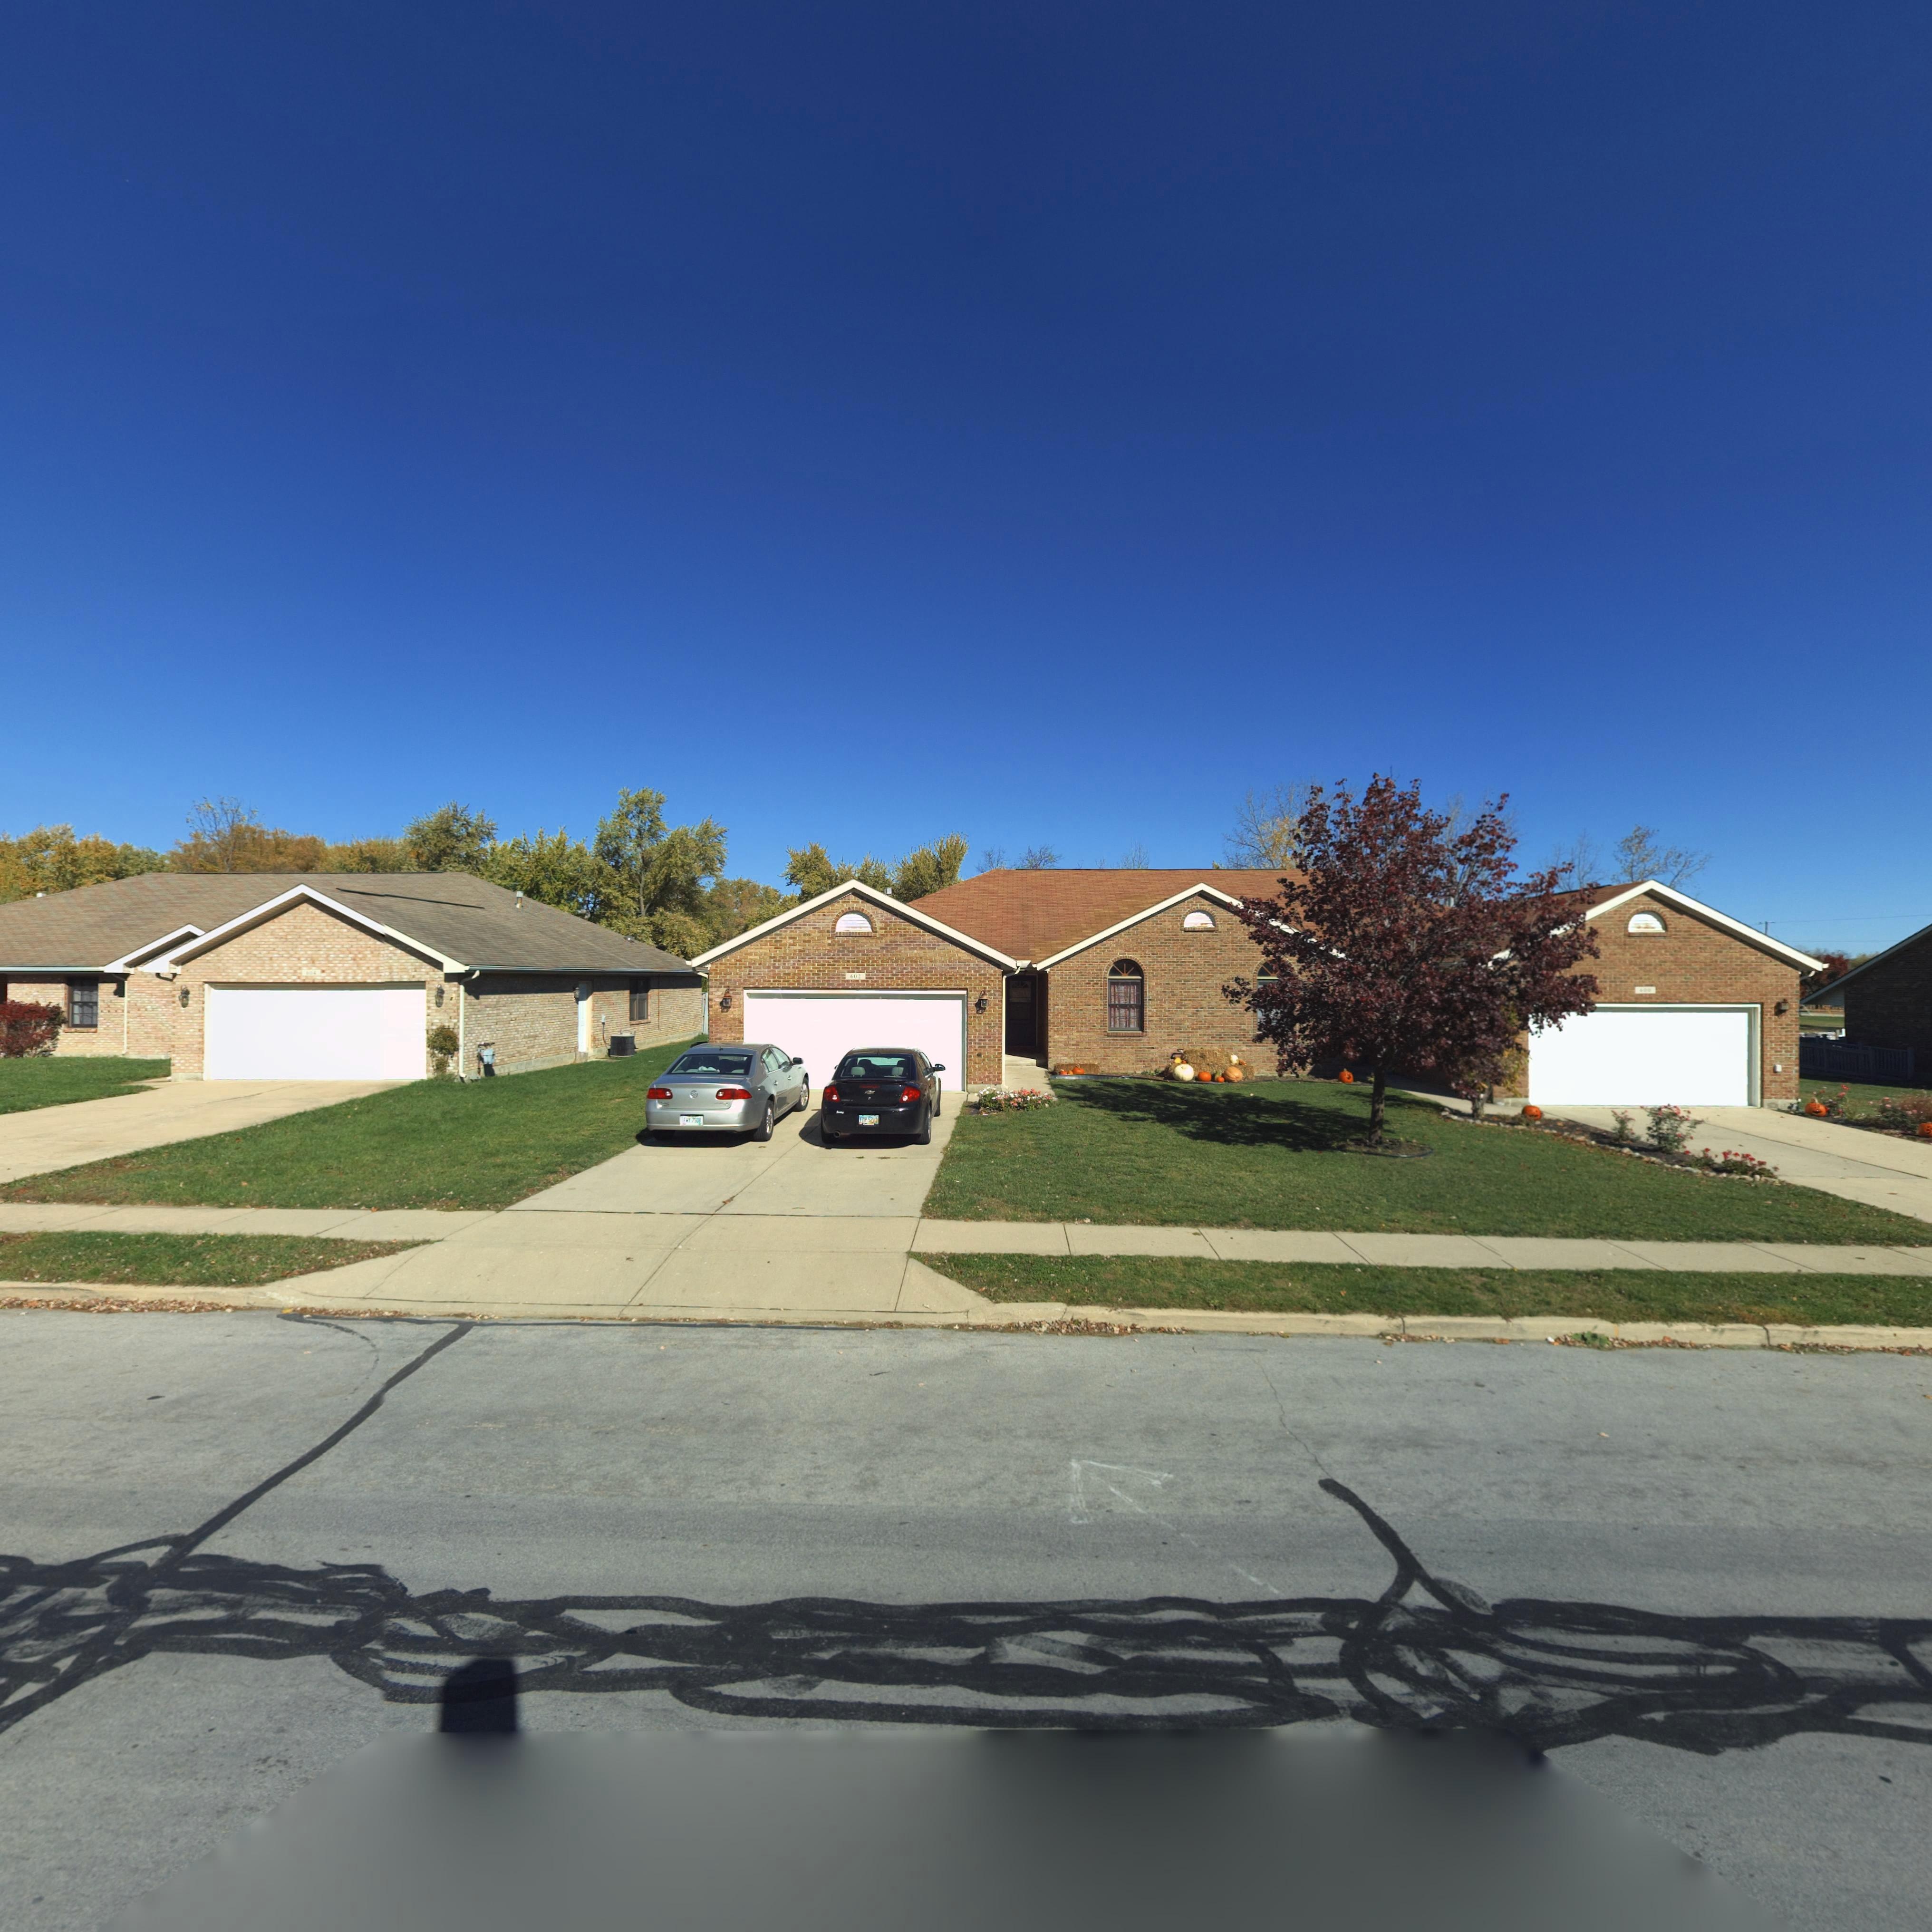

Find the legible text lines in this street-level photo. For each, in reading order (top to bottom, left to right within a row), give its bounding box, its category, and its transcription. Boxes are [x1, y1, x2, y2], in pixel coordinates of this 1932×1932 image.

[305, 970, 317, 975] StreetNumber: 604
[850, 974, 861, 979] StreetNumber: 602
[1639, 987, 1651, 993] StreetNumber: 600
[691, 1117, 699, 1123] None: 750
[867, 1116, 878, 1123] None: 5213